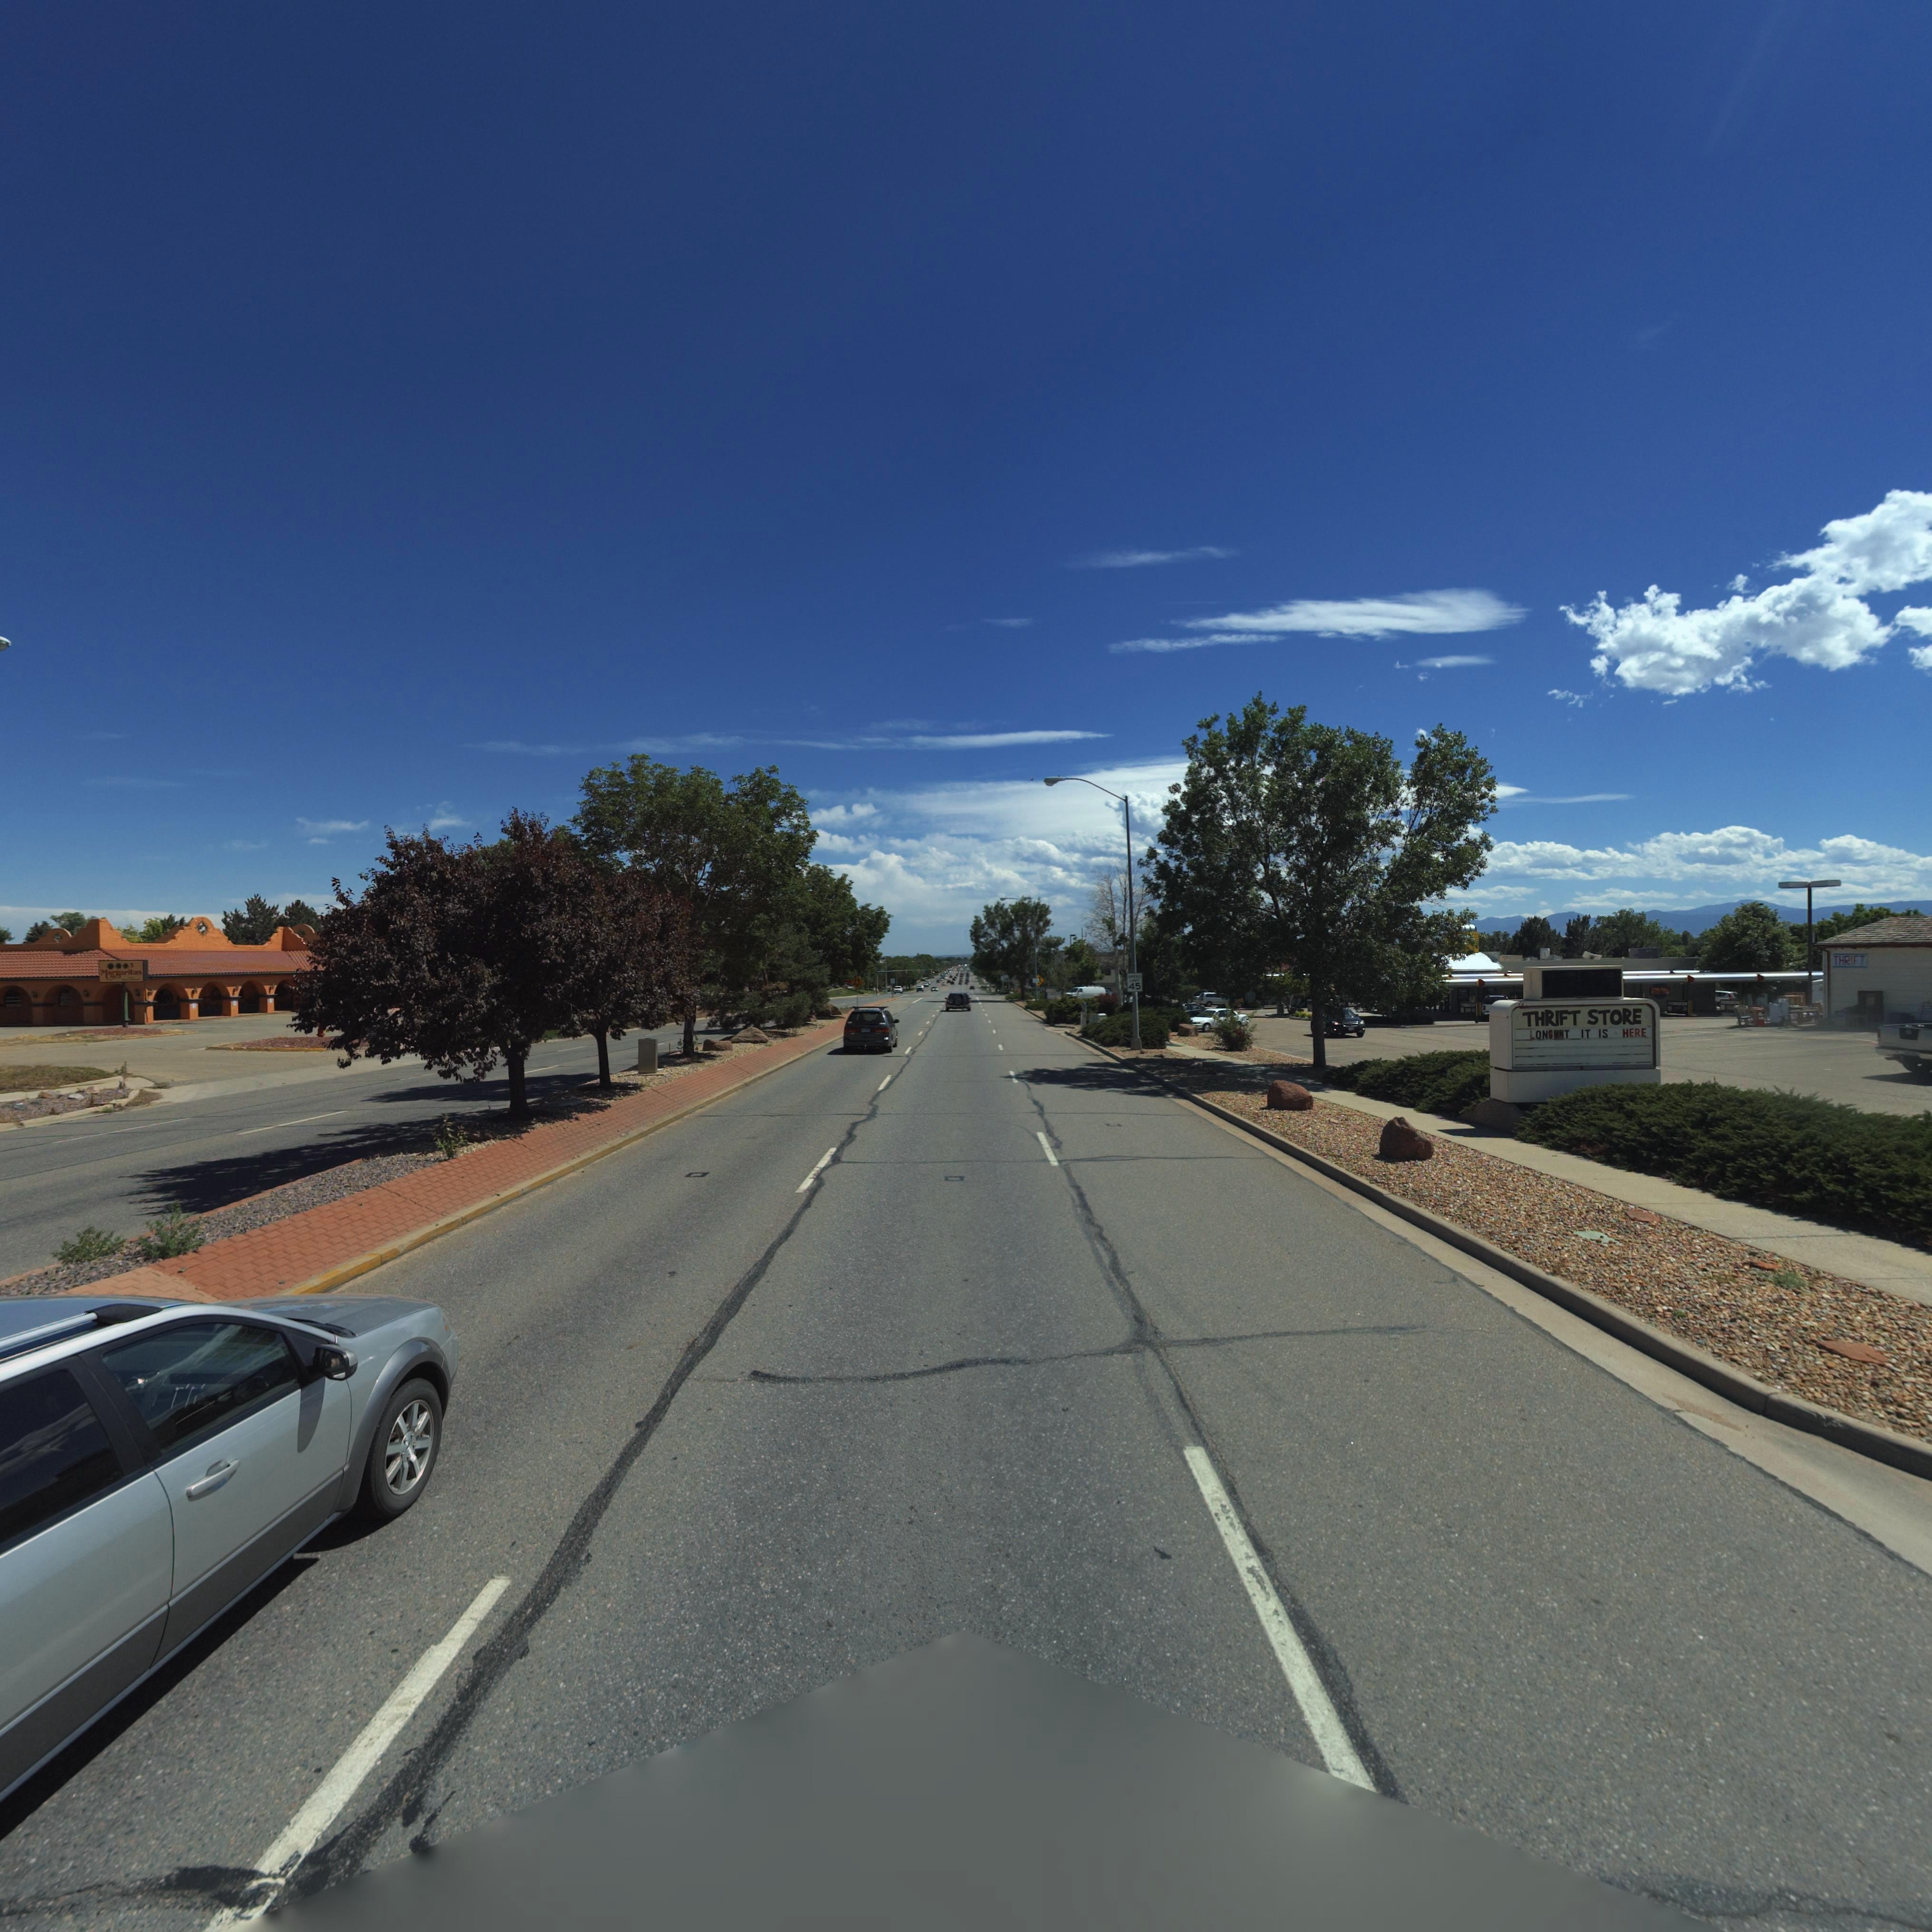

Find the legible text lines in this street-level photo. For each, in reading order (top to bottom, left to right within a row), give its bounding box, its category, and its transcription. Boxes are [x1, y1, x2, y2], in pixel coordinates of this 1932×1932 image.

[128, 963, 133, 968] BusinessName: 3
[101, 968, 142, 981] BusinessName: Margaritas